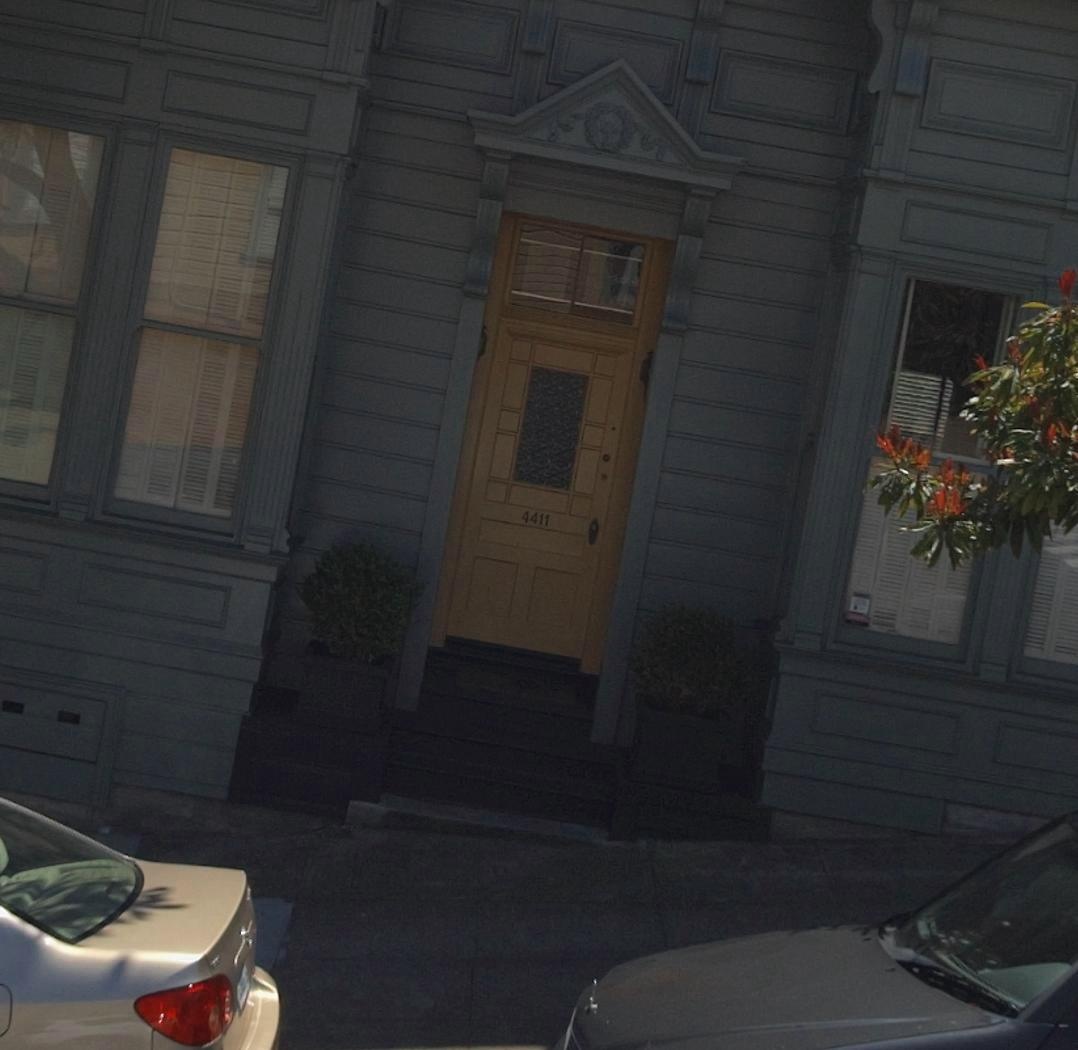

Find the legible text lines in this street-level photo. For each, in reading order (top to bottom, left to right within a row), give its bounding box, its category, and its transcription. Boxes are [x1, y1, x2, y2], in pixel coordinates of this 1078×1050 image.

[519, 508, 552, 528] StreetNumber: 4411